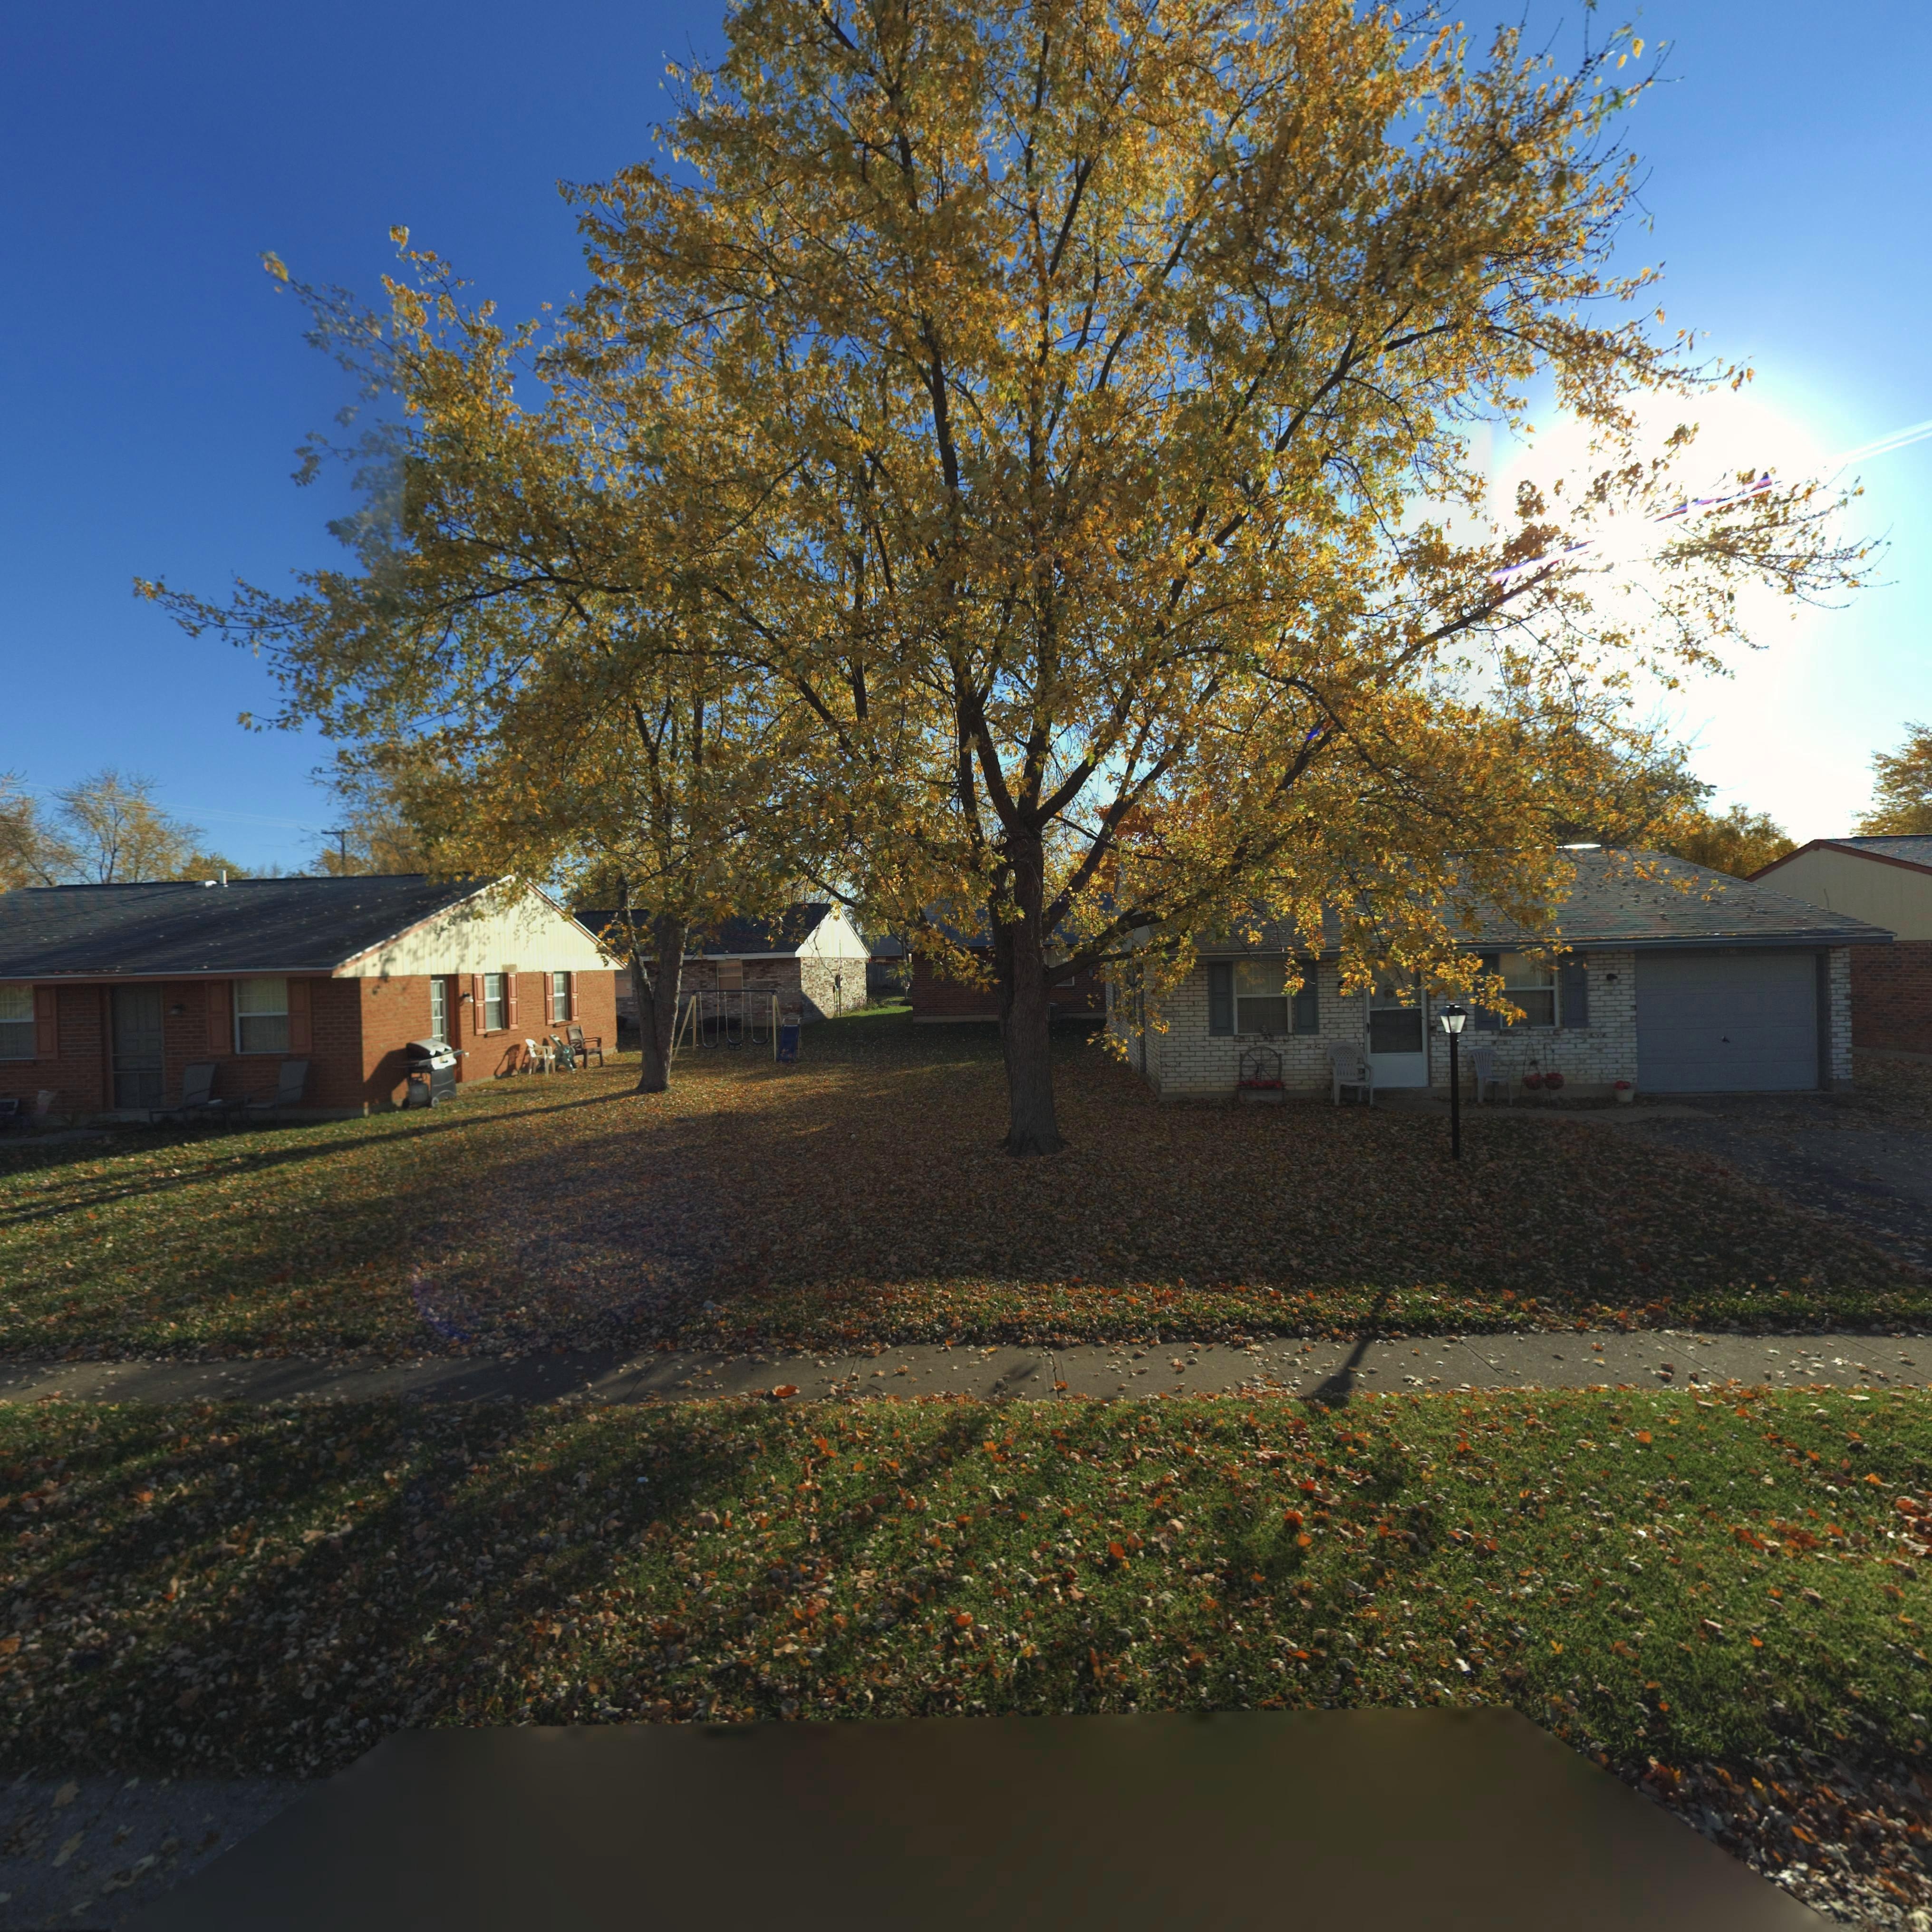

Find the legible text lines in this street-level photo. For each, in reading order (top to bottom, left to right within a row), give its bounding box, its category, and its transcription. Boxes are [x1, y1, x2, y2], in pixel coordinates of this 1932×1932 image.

[1717, 947, 1739, 956] StreetNumber: 7***